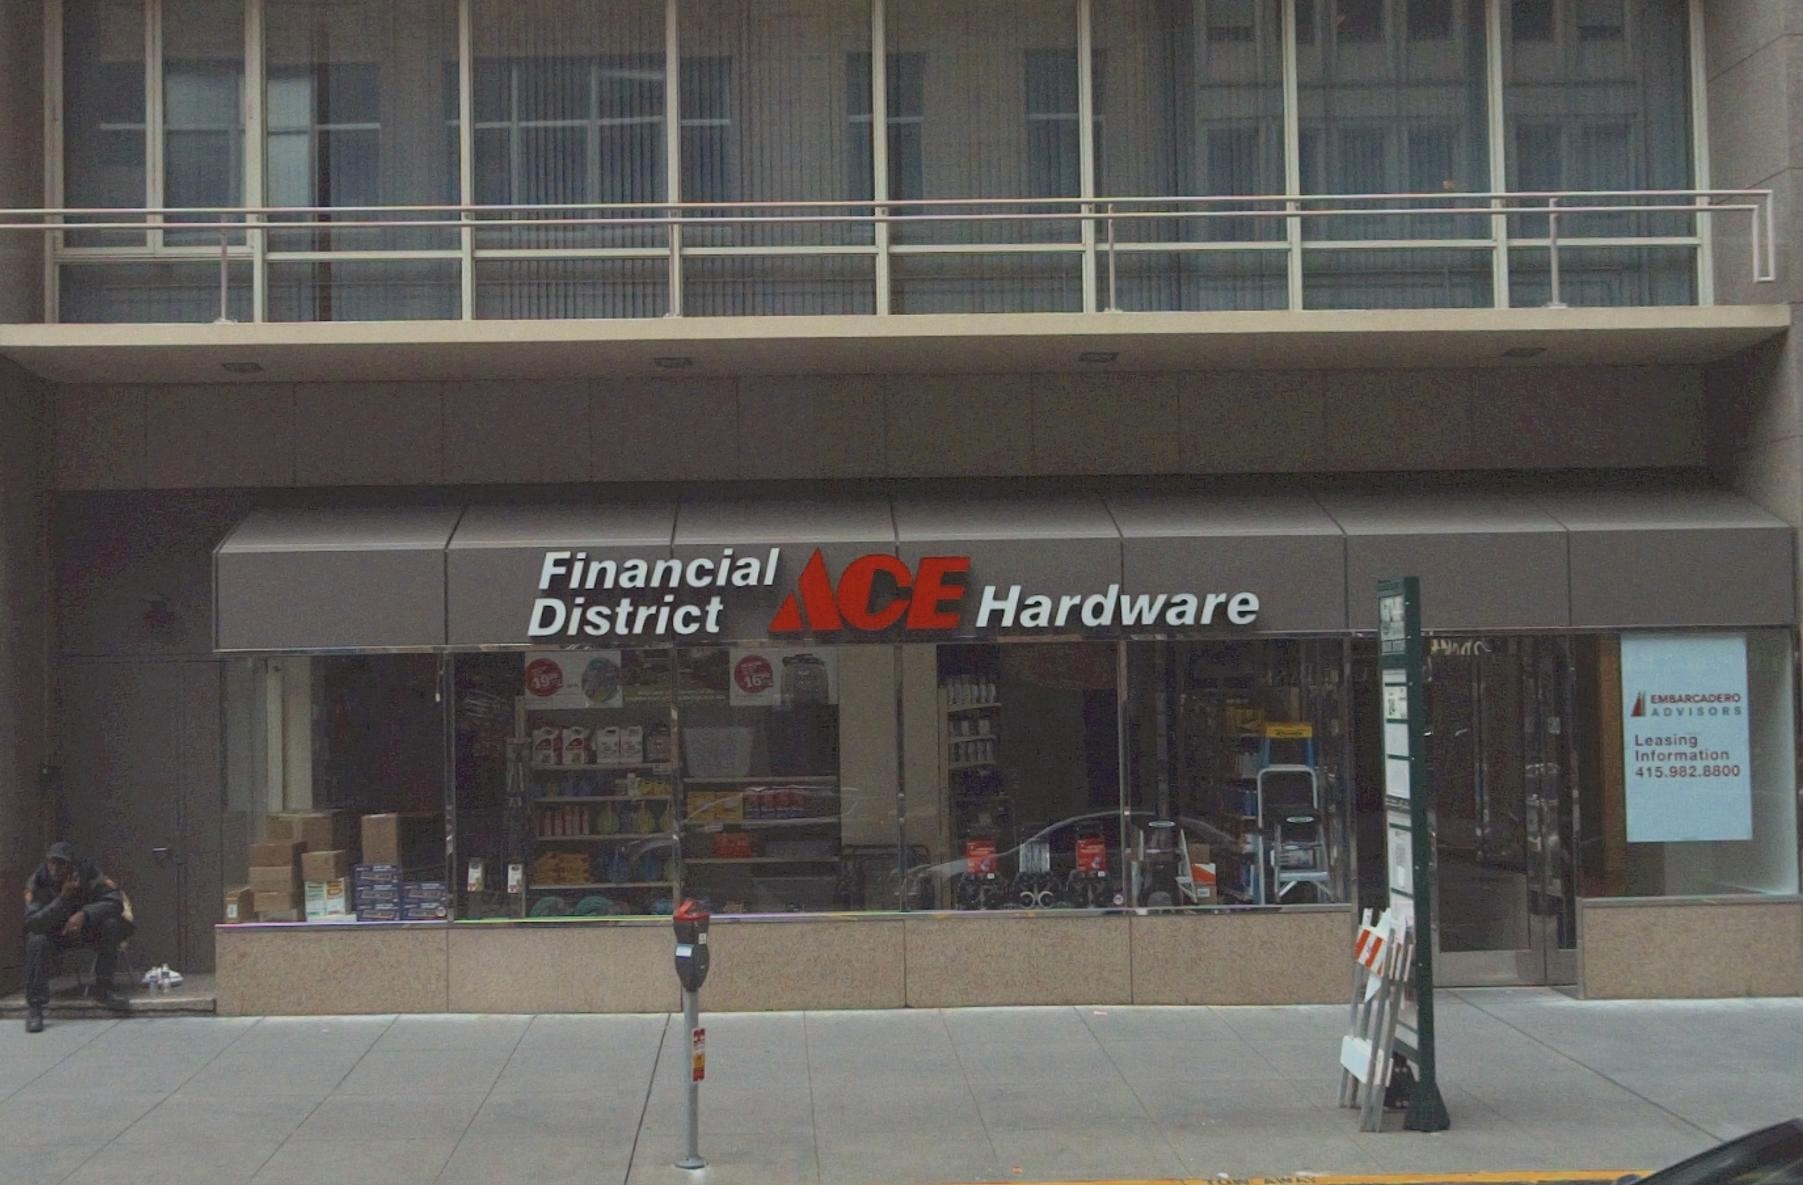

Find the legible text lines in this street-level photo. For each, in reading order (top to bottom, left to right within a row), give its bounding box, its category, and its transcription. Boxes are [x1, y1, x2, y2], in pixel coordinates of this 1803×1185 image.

[532, 543, 790, 594] None: Financial
[758, 542, 1263, 638] BusinessName: ACE Hardware
[521, 591, 730, 640] None: District
[529, 669, 556, 692] None: 19
[740, 669, 765, 691] None: 16
[1647, 690, 1743, 706] None: EMBARCADERO
[1649, 704, 1744, 719] None: ADVISORS
[1632, 731, 1701, 751] None: Leasing
[1633, 745, 1733, 765] None: Information
[1630, 761, 1744, 781] None: 415.982.8800